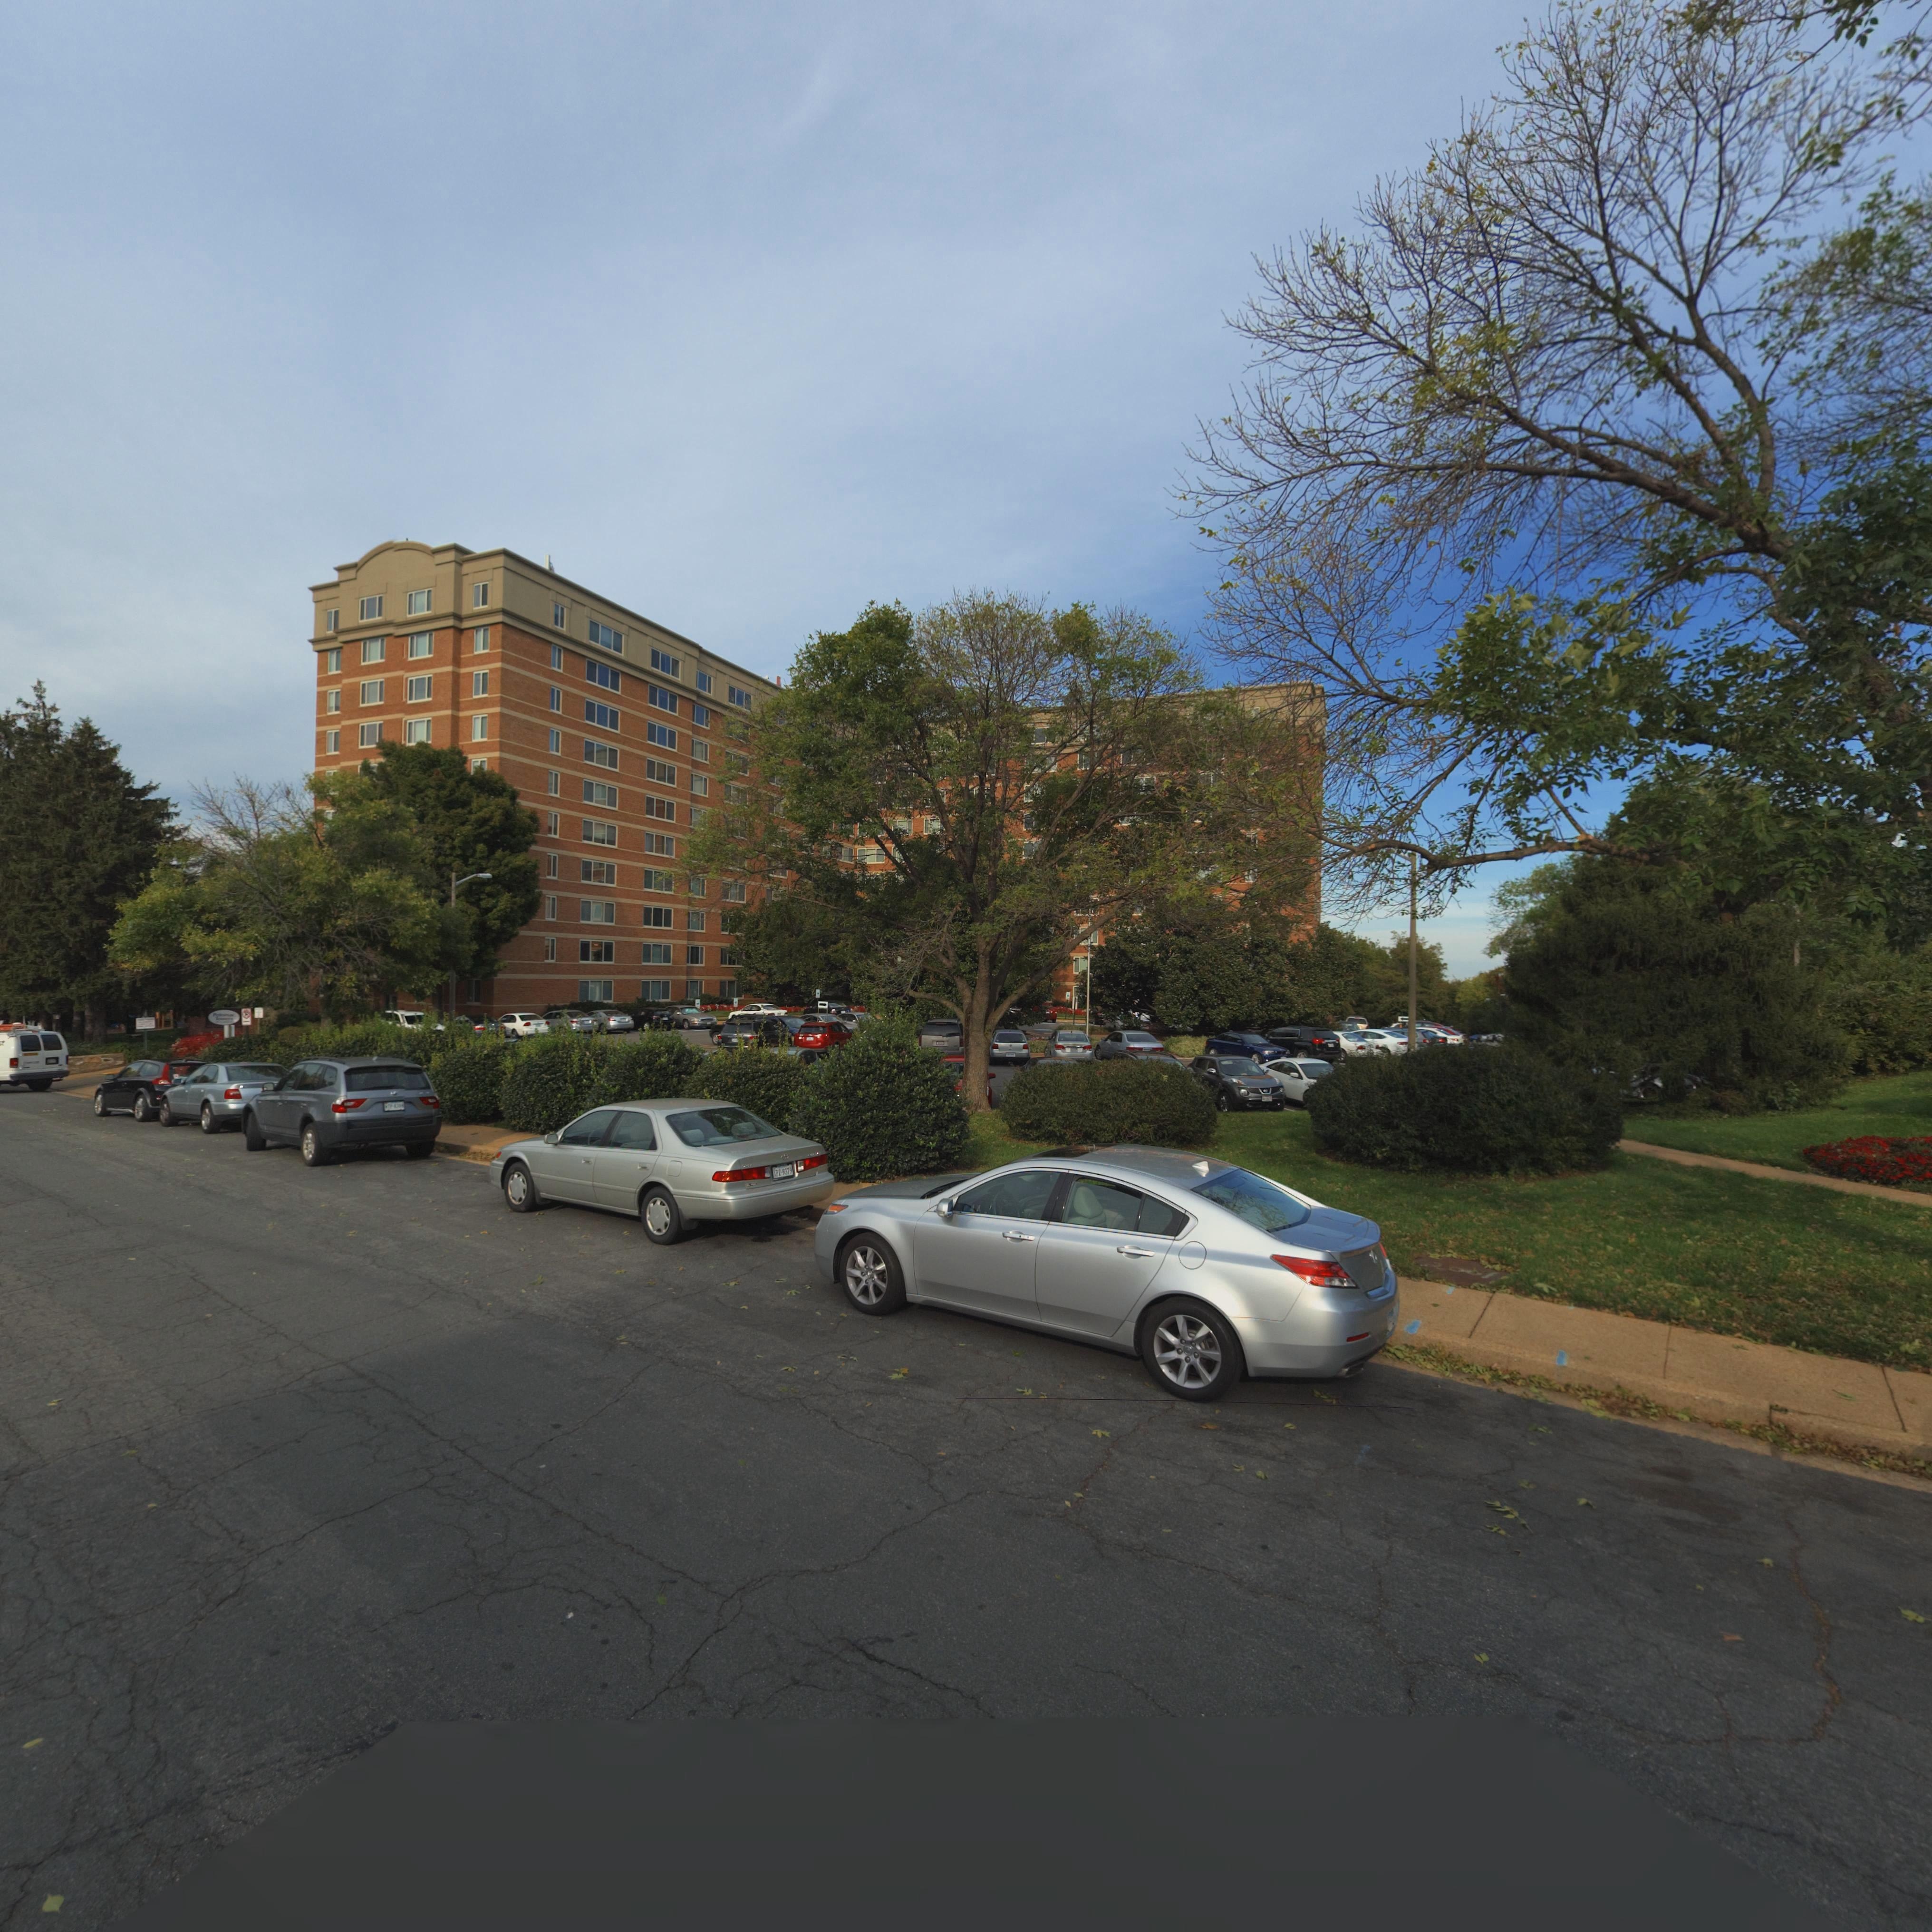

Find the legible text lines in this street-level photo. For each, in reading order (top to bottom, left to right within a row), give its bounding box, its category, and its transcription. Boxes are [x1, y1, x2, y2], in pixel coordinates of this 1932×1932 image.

[773, 1167, 792, 1177] None: YPZ-9379